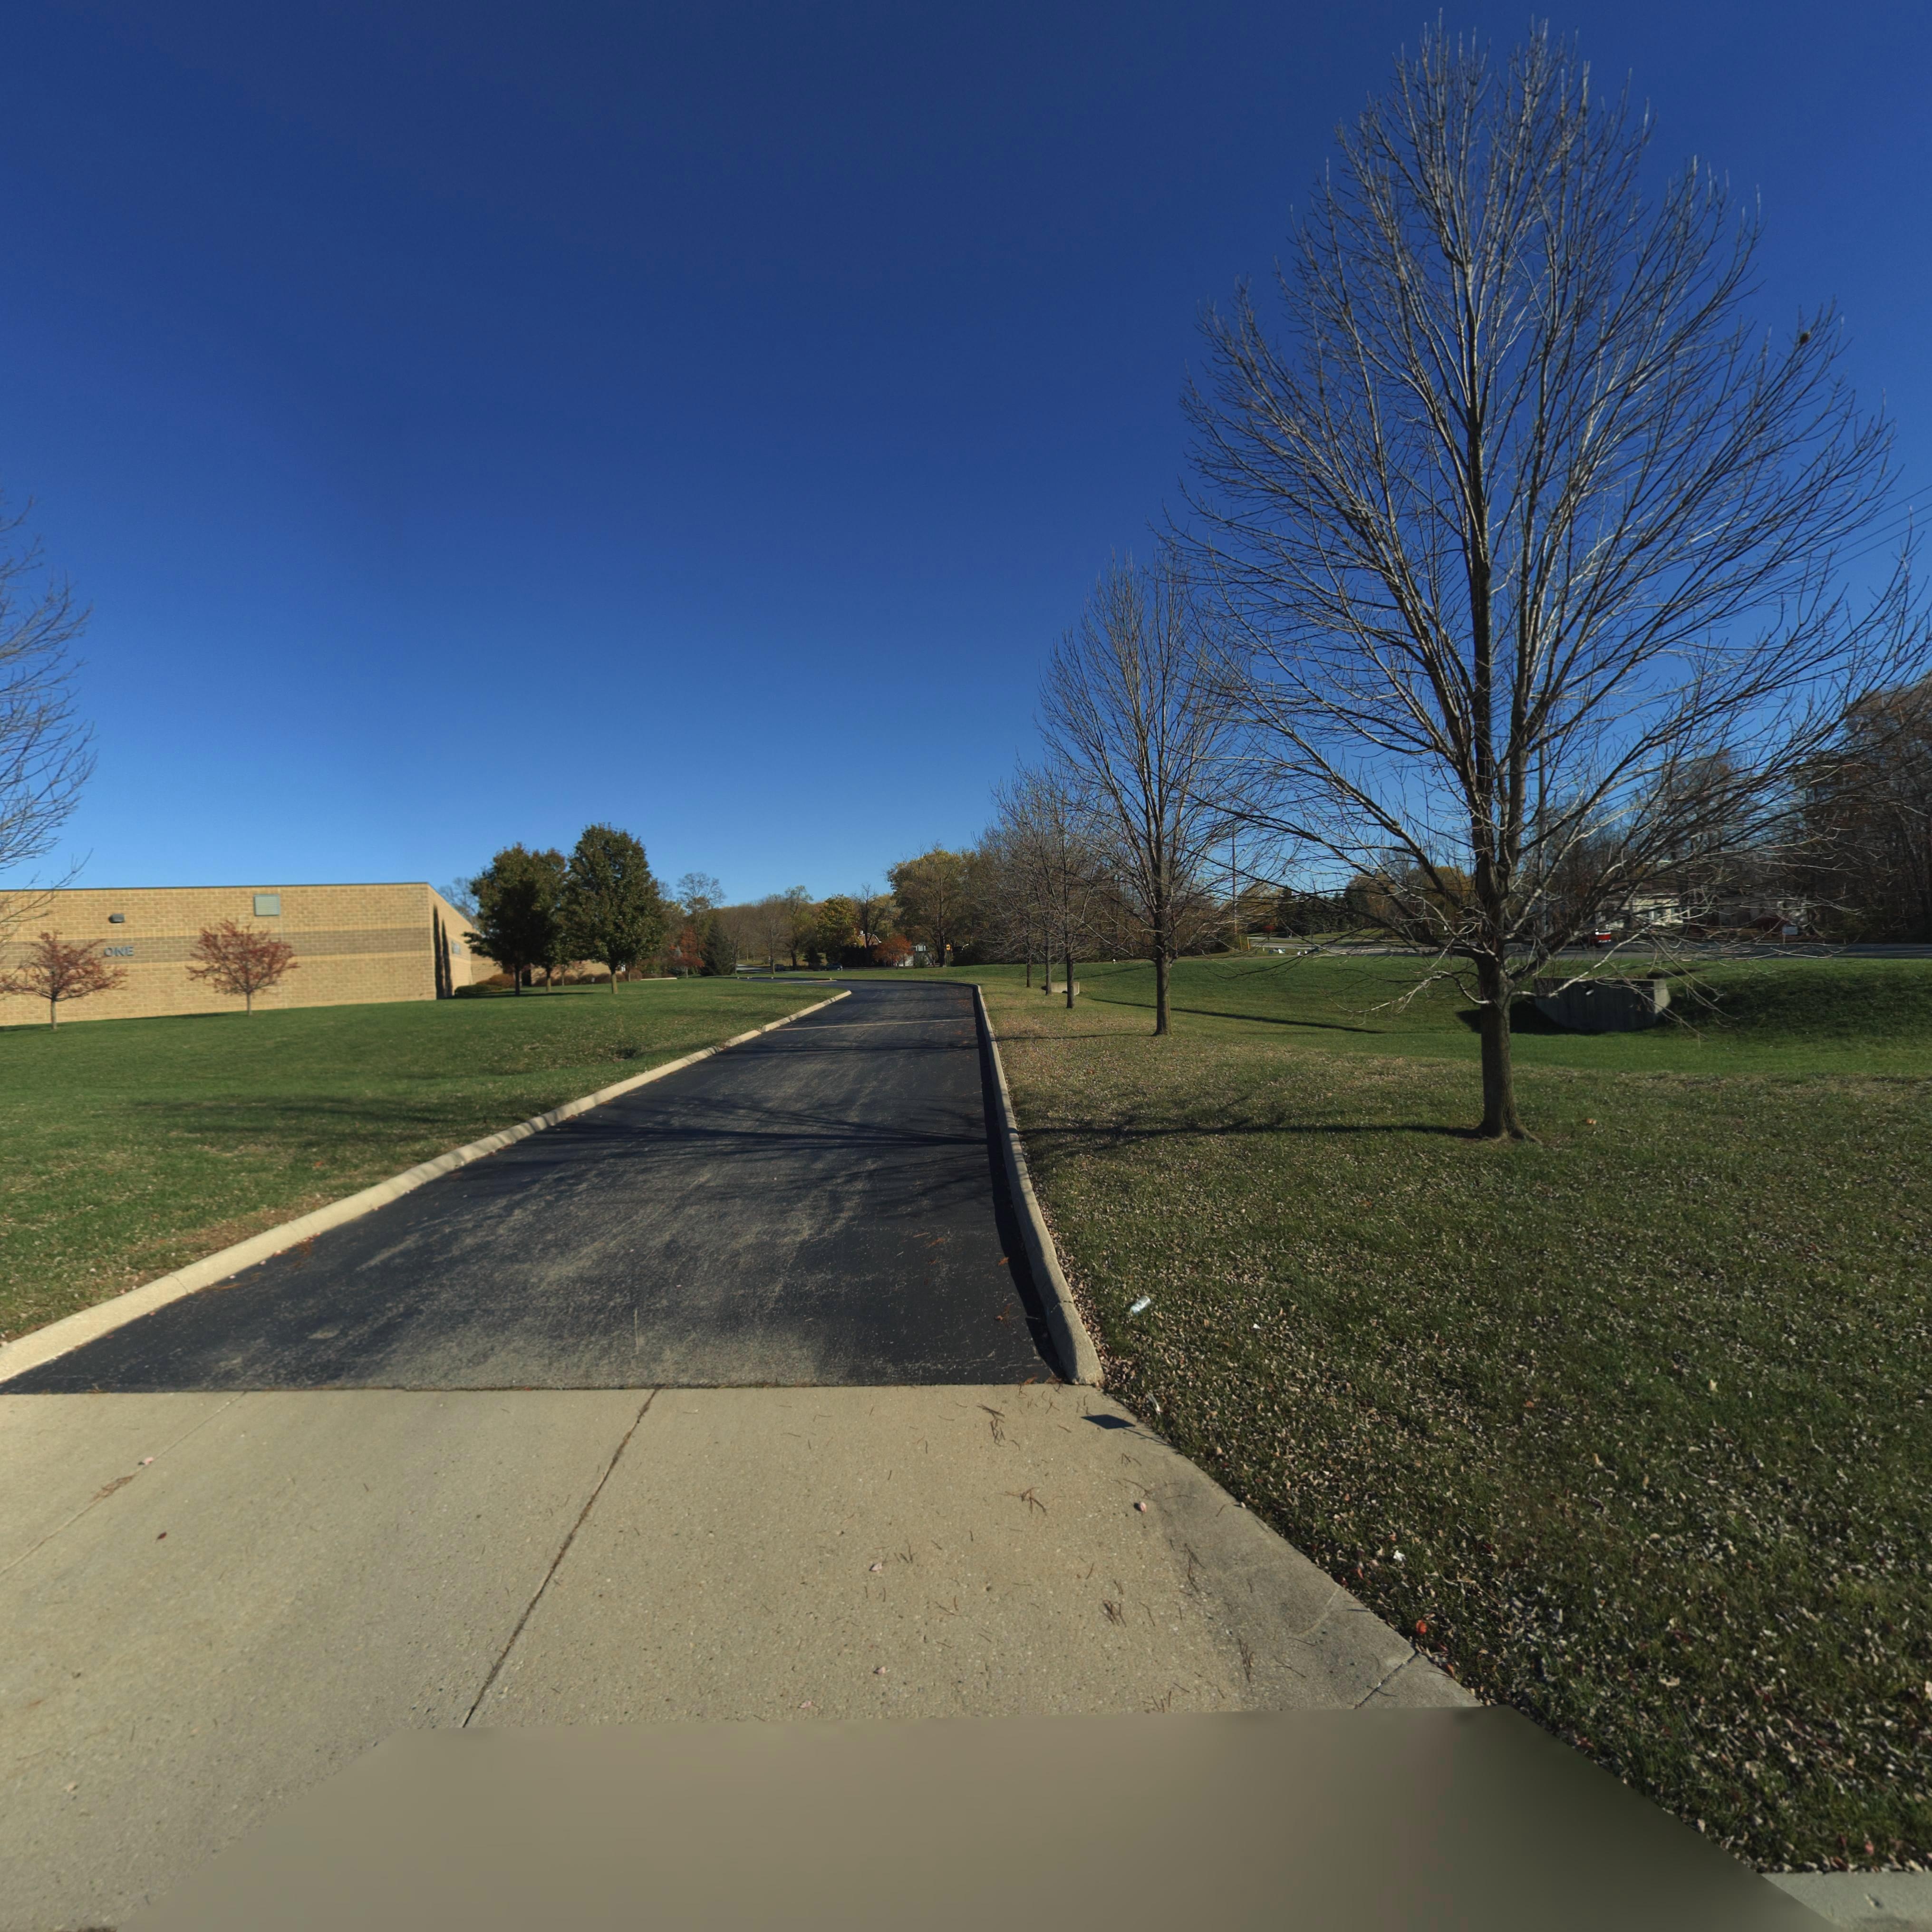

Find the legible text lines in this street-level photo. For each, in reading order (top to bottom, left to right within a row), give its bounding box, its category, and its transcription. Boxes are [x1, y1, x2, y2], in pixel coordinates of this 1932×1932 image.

[103, 945, 135, 957] StreetNumber: ONE